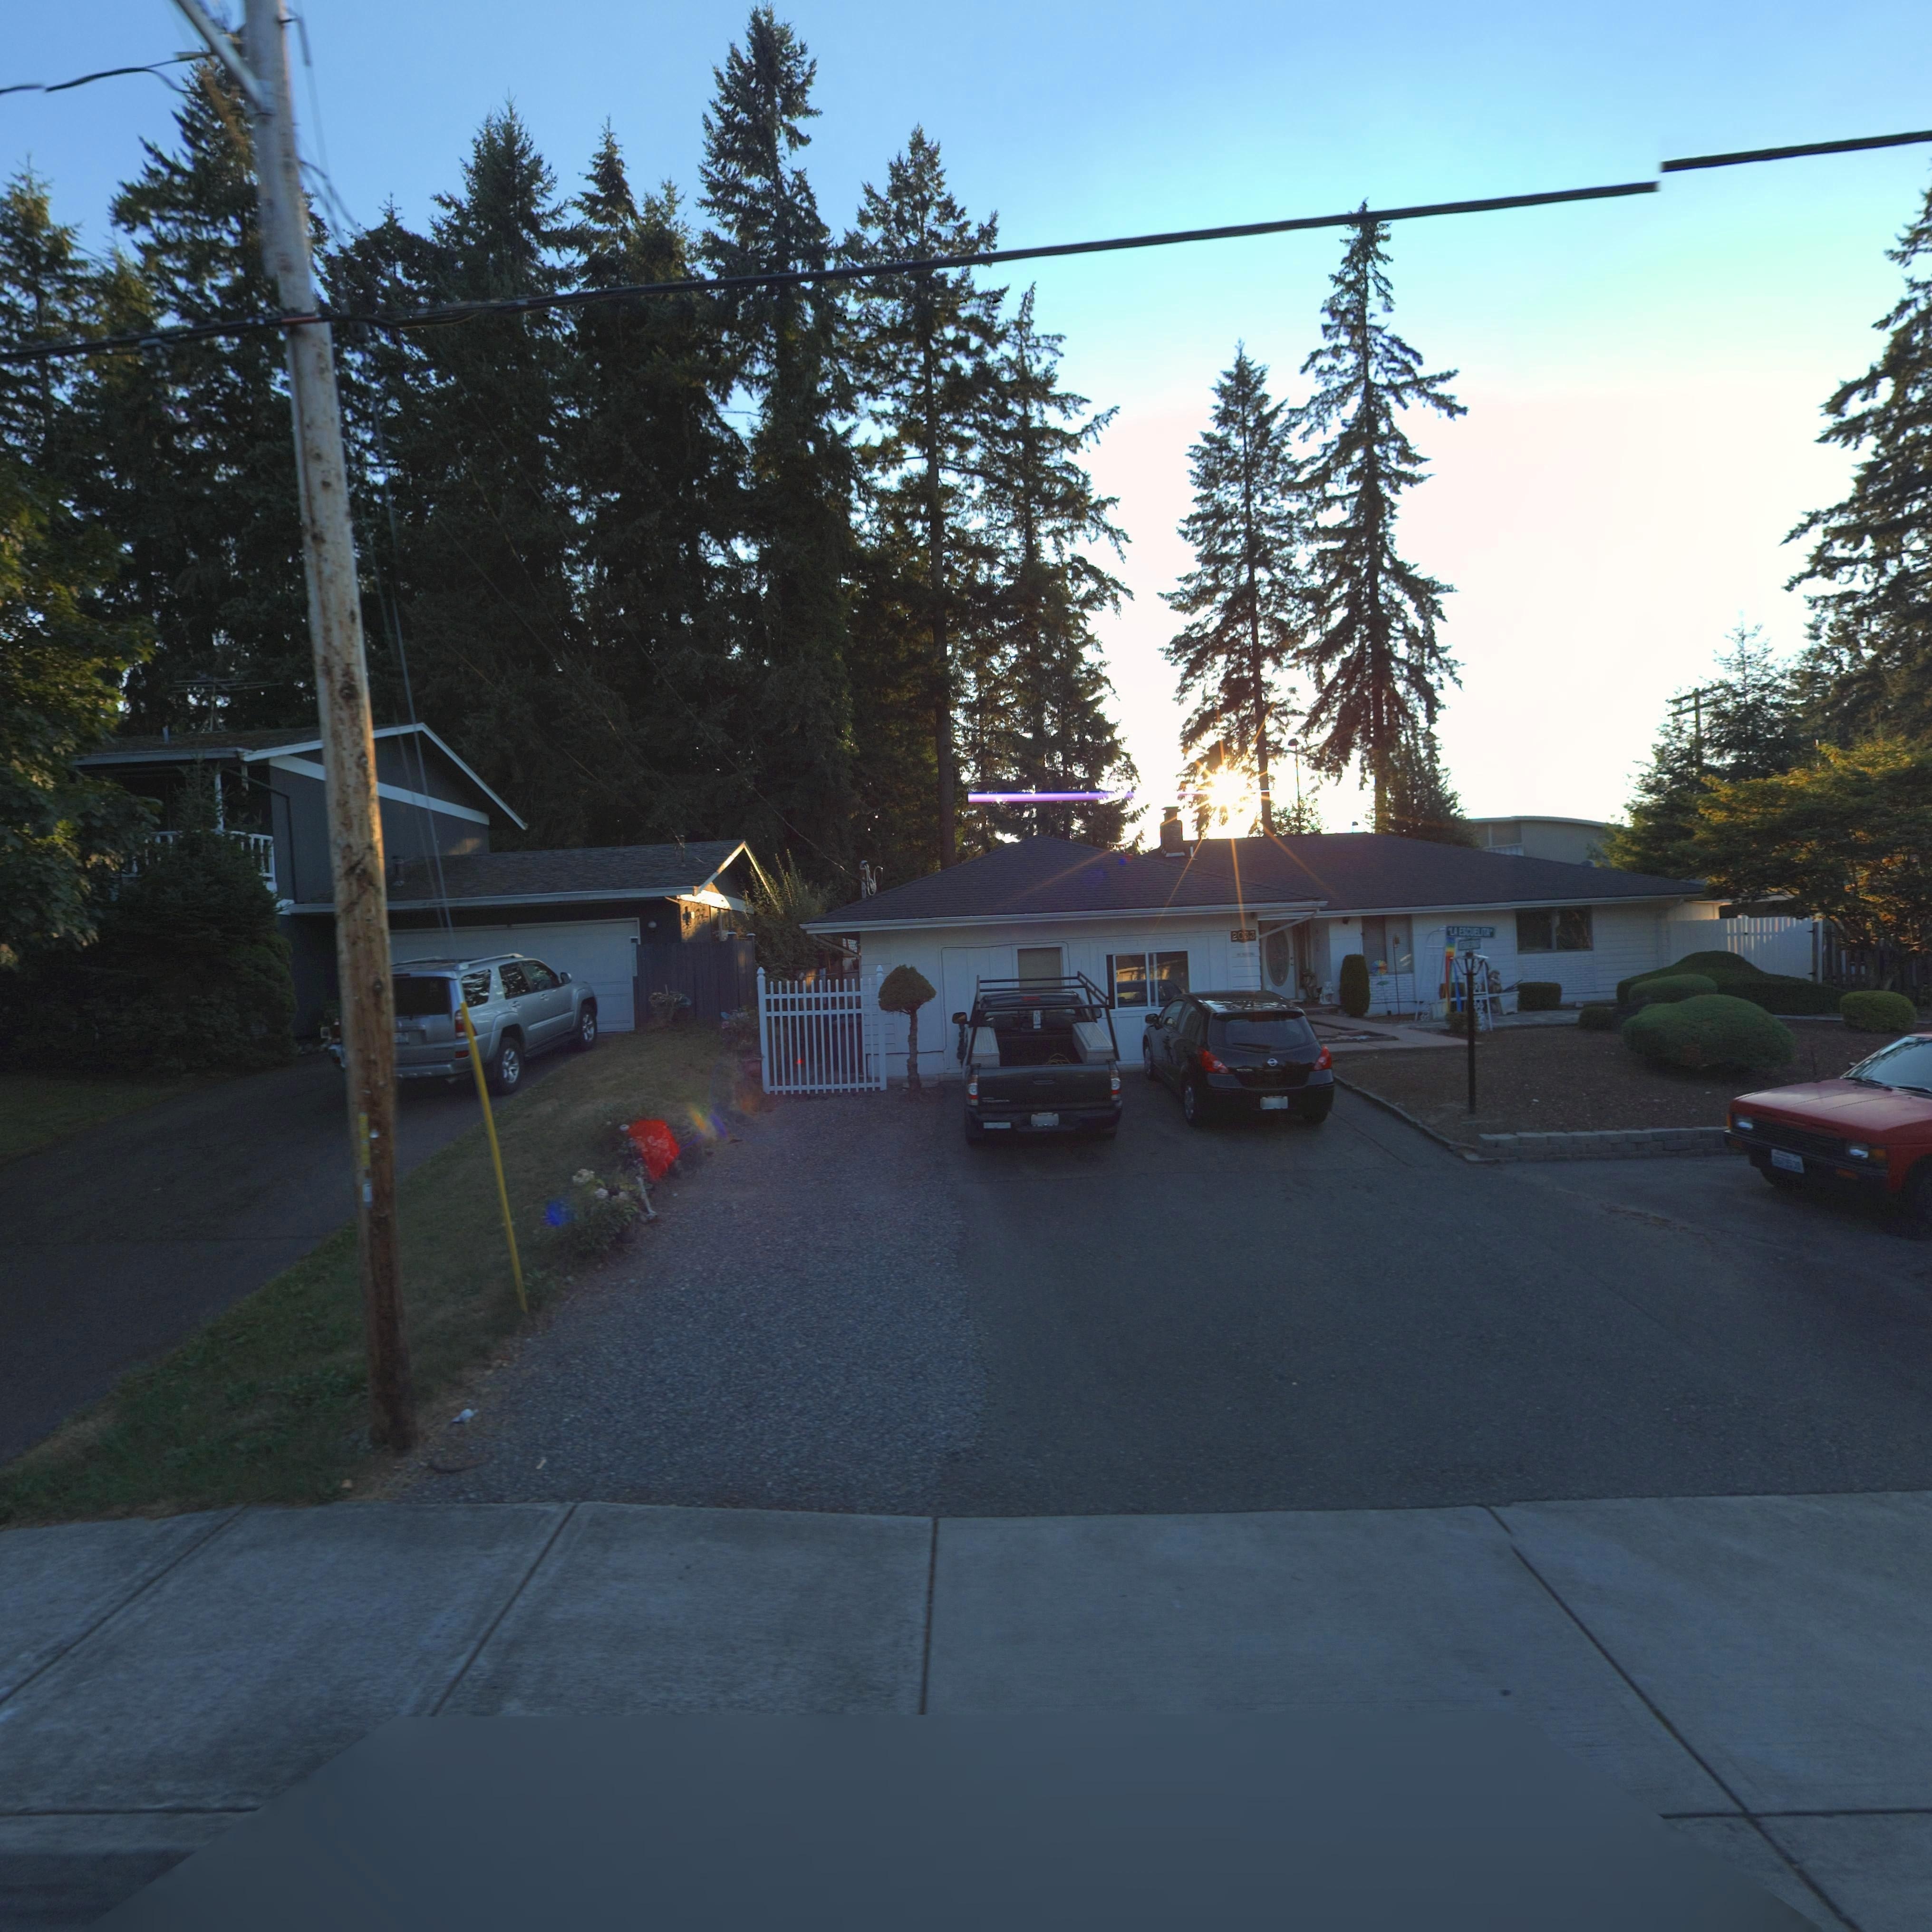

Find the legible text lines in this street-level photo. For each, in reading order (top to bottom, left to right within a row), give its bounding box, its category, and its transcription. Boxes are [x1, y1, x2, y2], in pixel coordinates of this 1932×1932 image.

[1231, 930, 1255, 940] StreetNumber: 2033
[1448, 926, 1493, 936] BusinessName: LA ESCUELITA